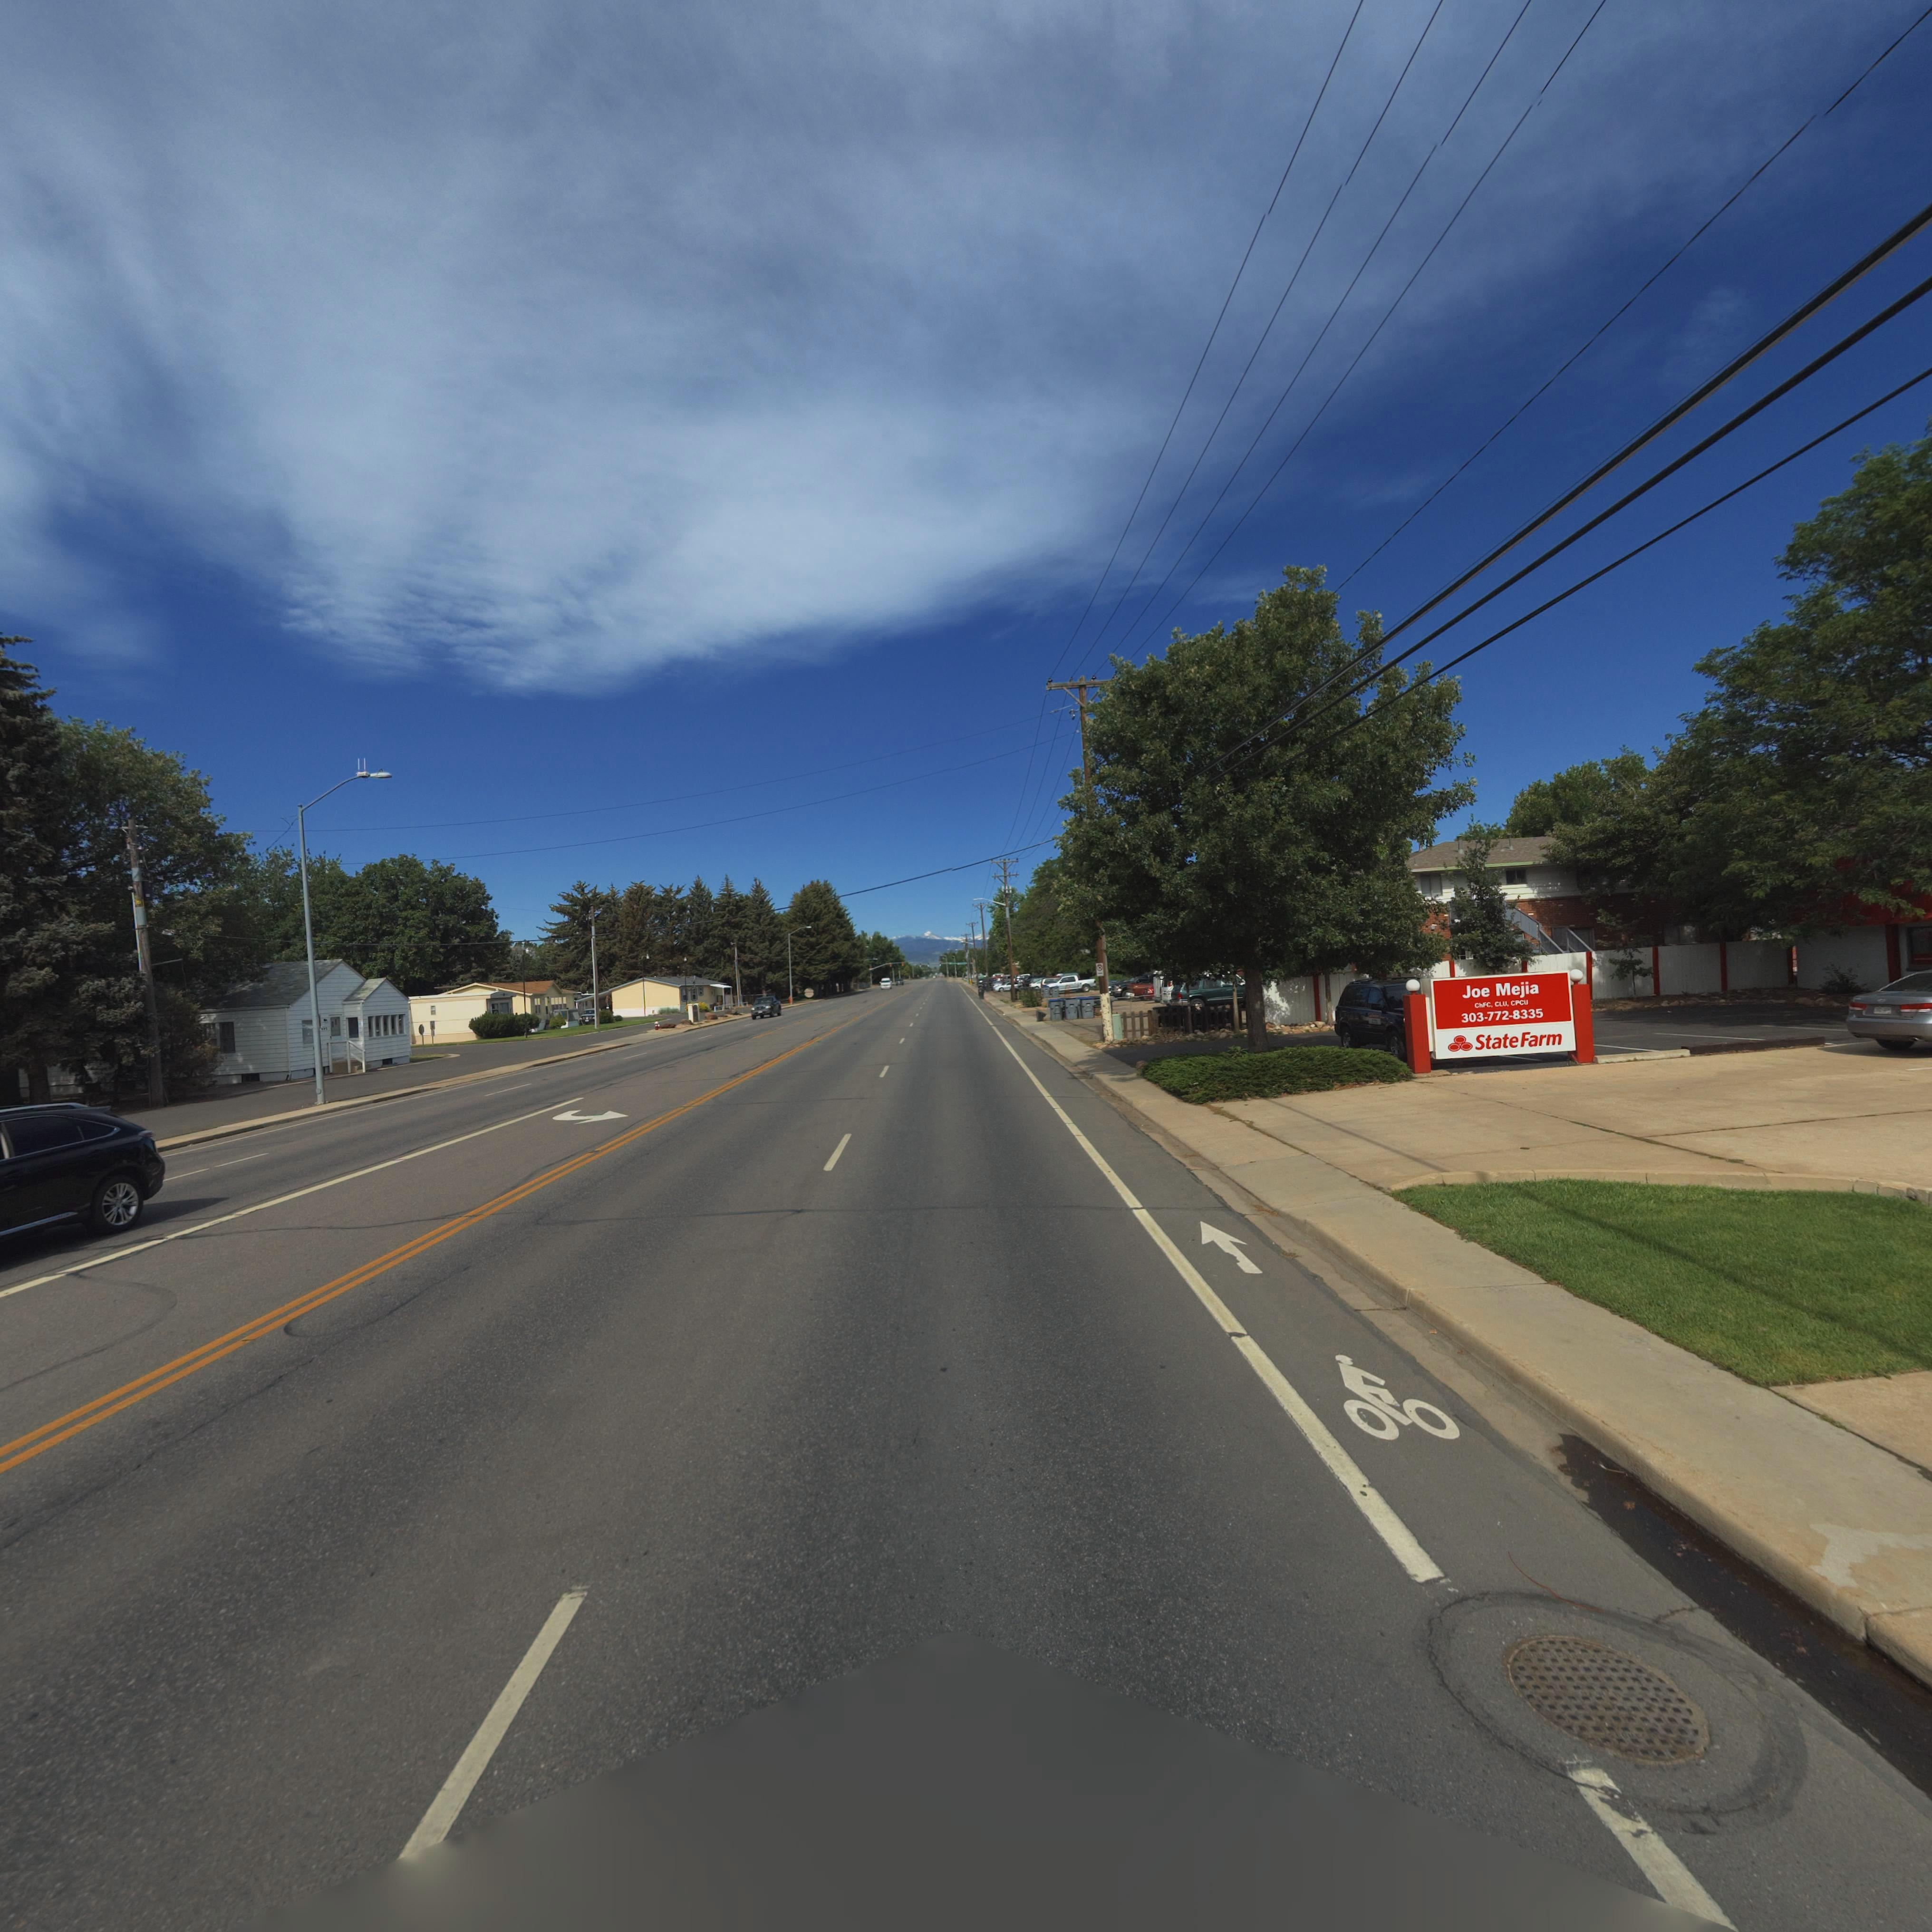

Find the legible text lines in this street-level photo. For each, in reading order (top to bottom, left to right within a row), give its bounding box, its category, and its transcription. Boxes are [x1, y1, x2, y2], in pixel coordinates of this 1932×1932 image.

[1474, 1031, 1563, 1051] BusinessName: State Farm